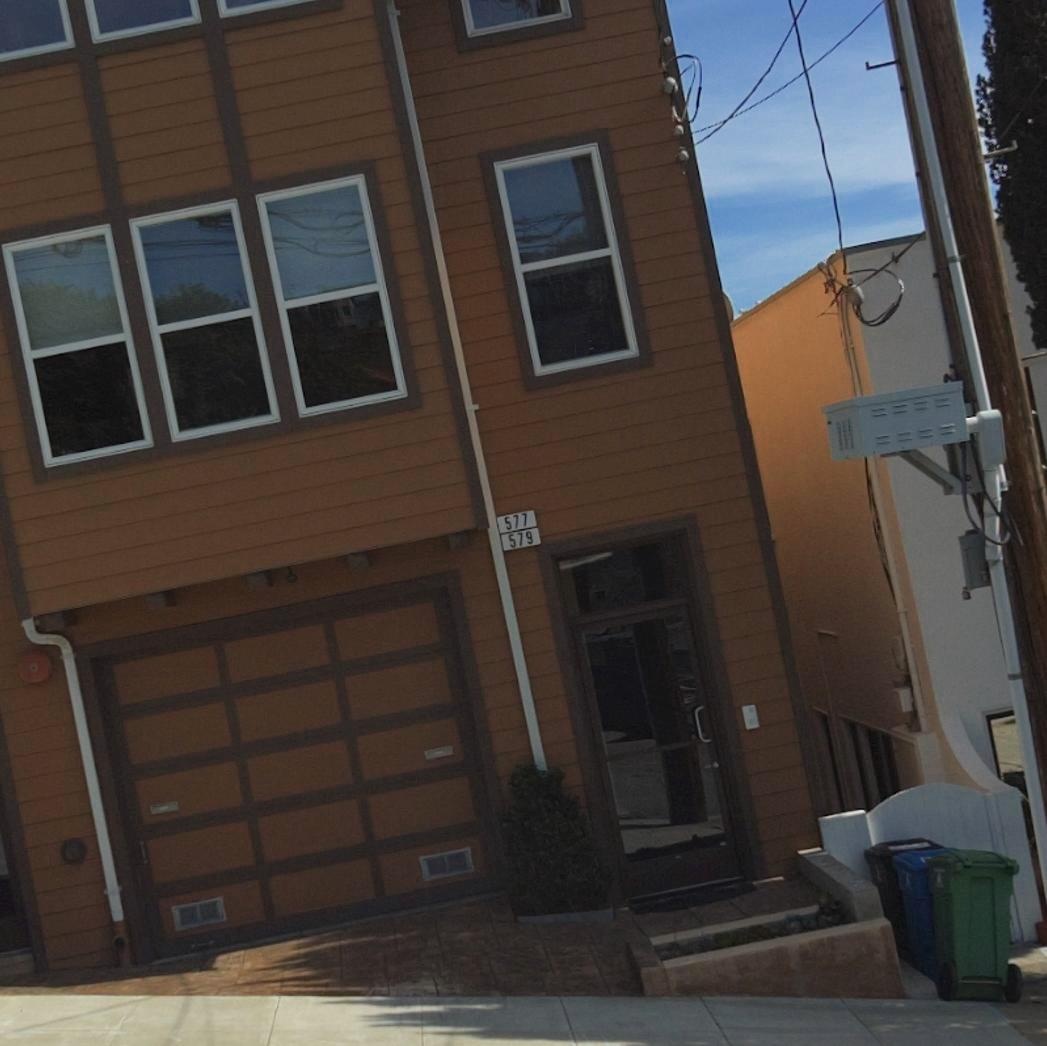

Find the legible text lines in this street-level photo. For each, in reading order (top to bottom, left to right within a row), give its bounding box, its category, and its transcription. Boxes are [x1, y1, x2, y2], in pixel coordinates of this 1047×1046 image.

[501, 510, 529, 532] StreetNumber: 577
[505, 528, 534, 550] StreetNumber: 579